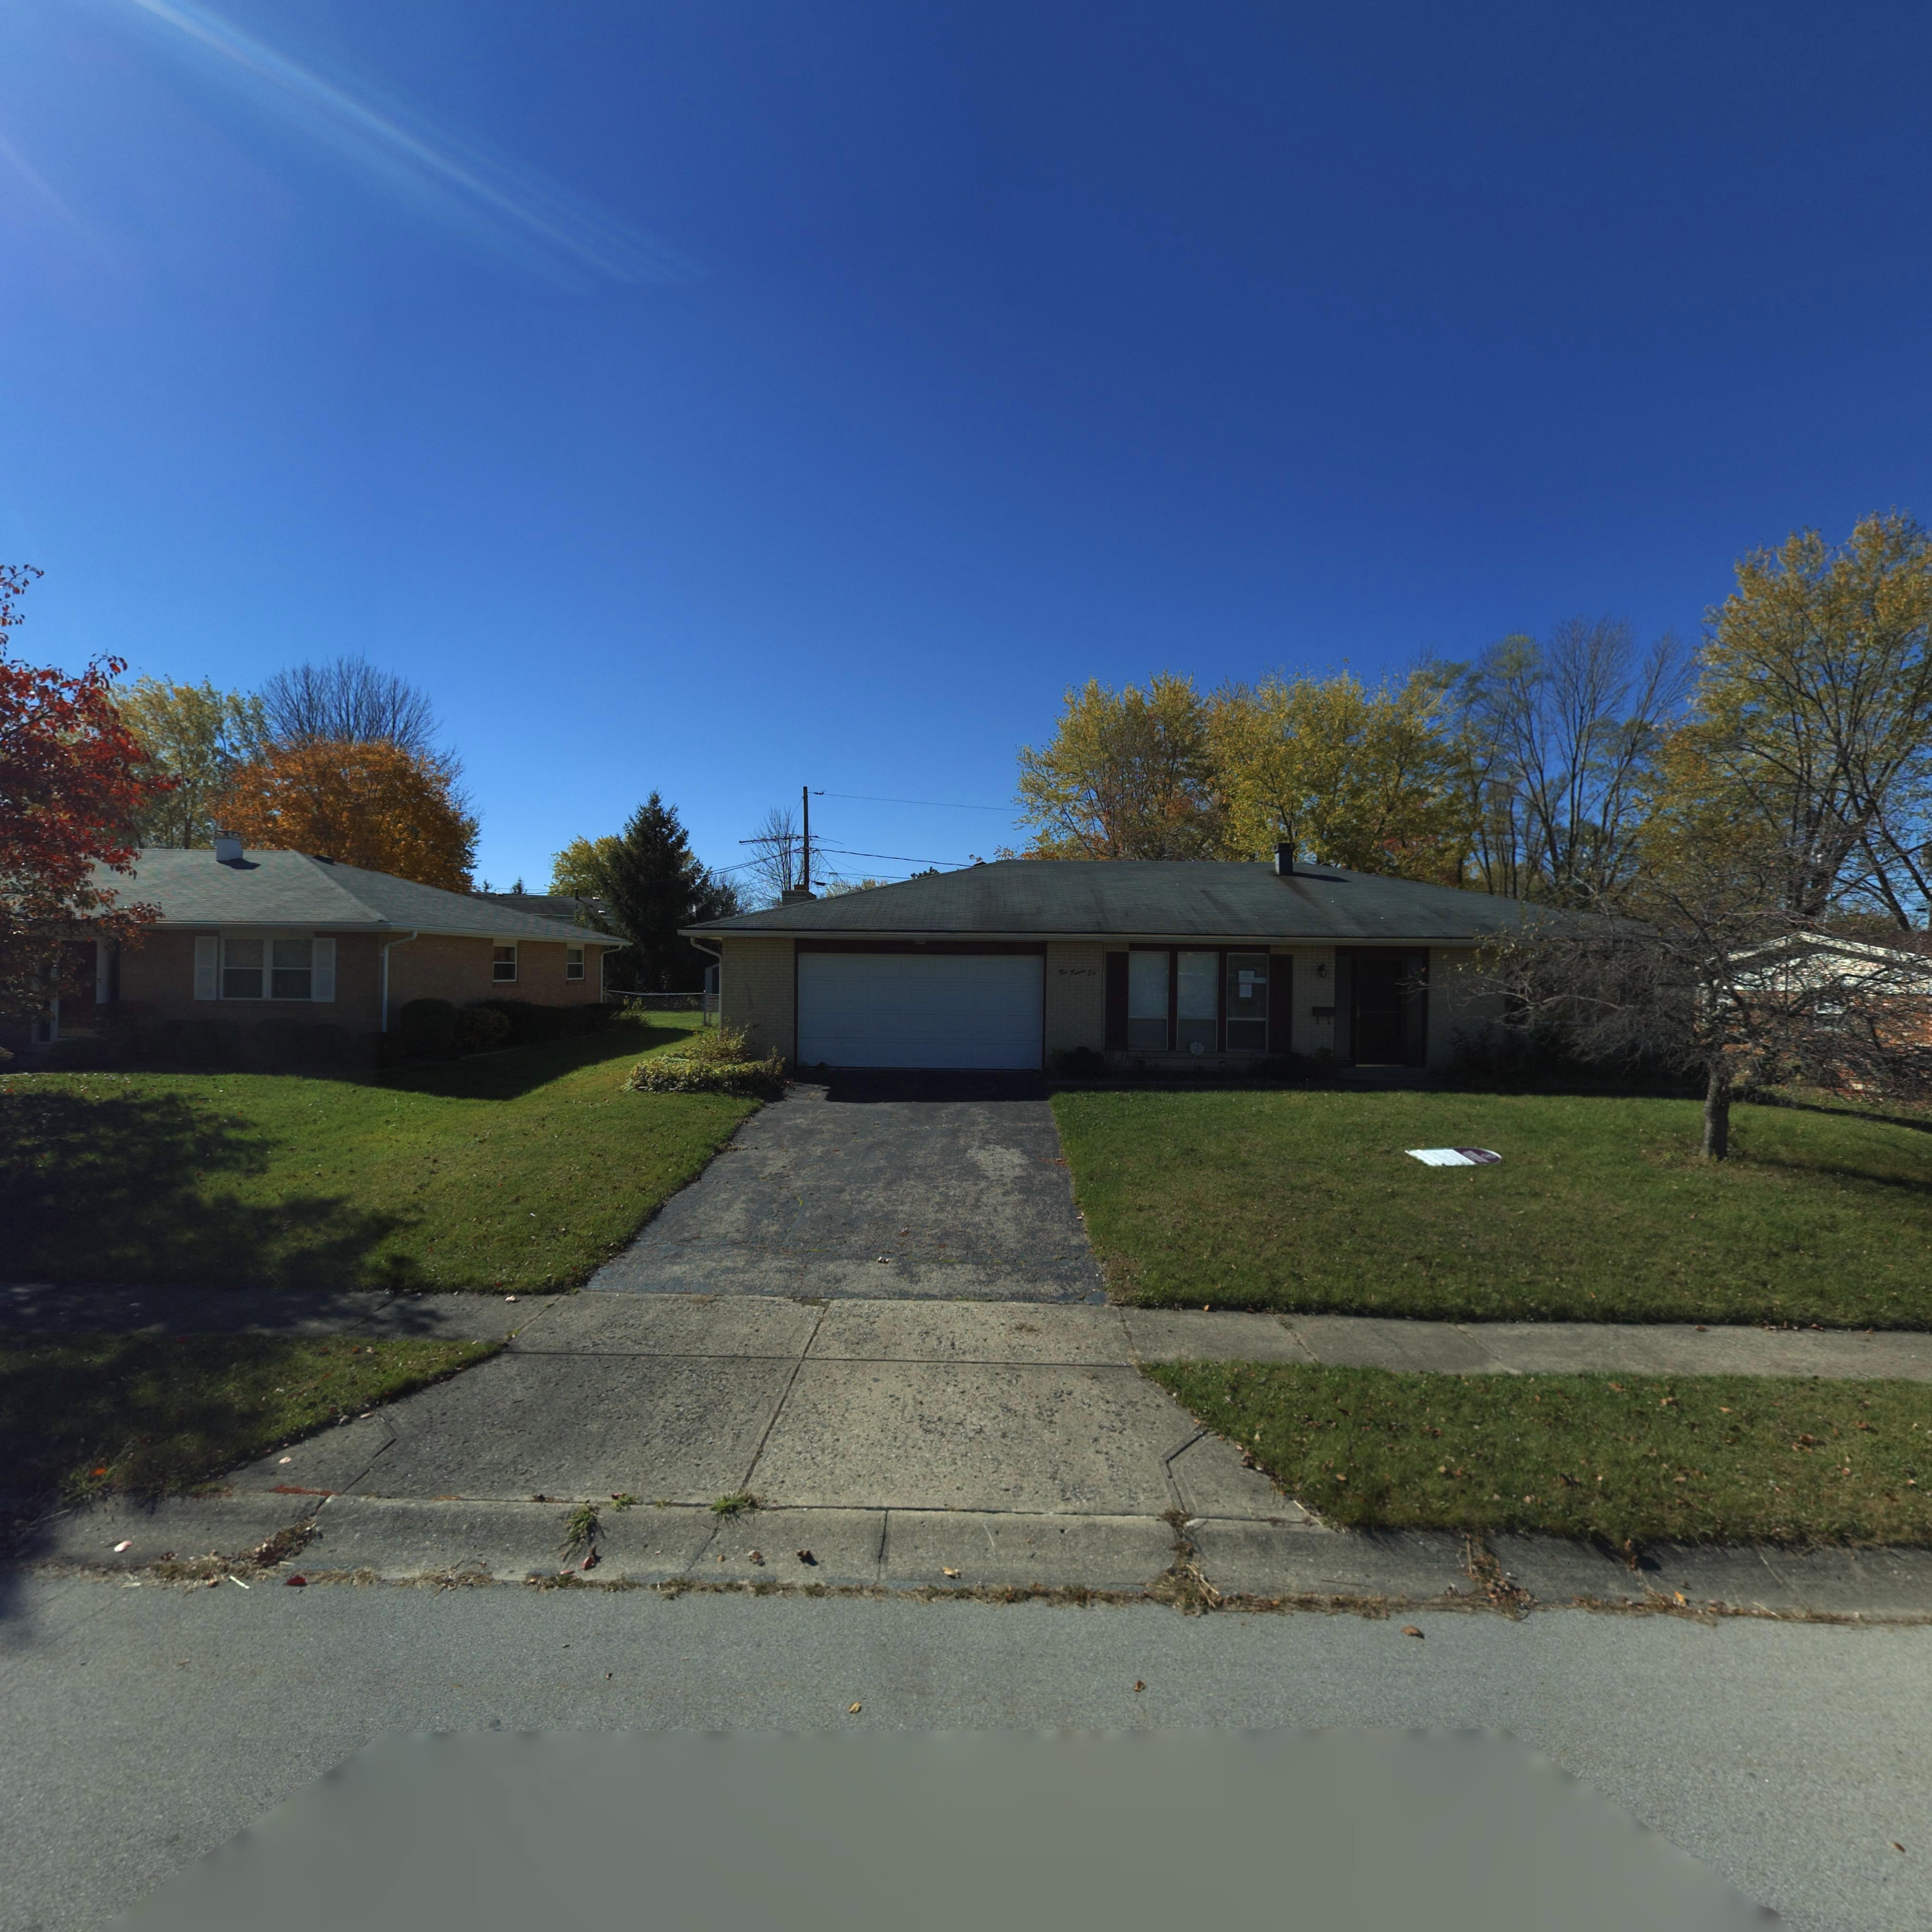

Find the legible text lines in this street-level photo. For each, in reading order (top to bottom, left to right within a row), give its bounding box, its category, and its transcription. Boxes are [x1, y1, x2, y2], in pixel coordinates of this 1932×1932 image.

[1058, 969, 1097, 976] StreetNumber: Ten Tw**ty S**